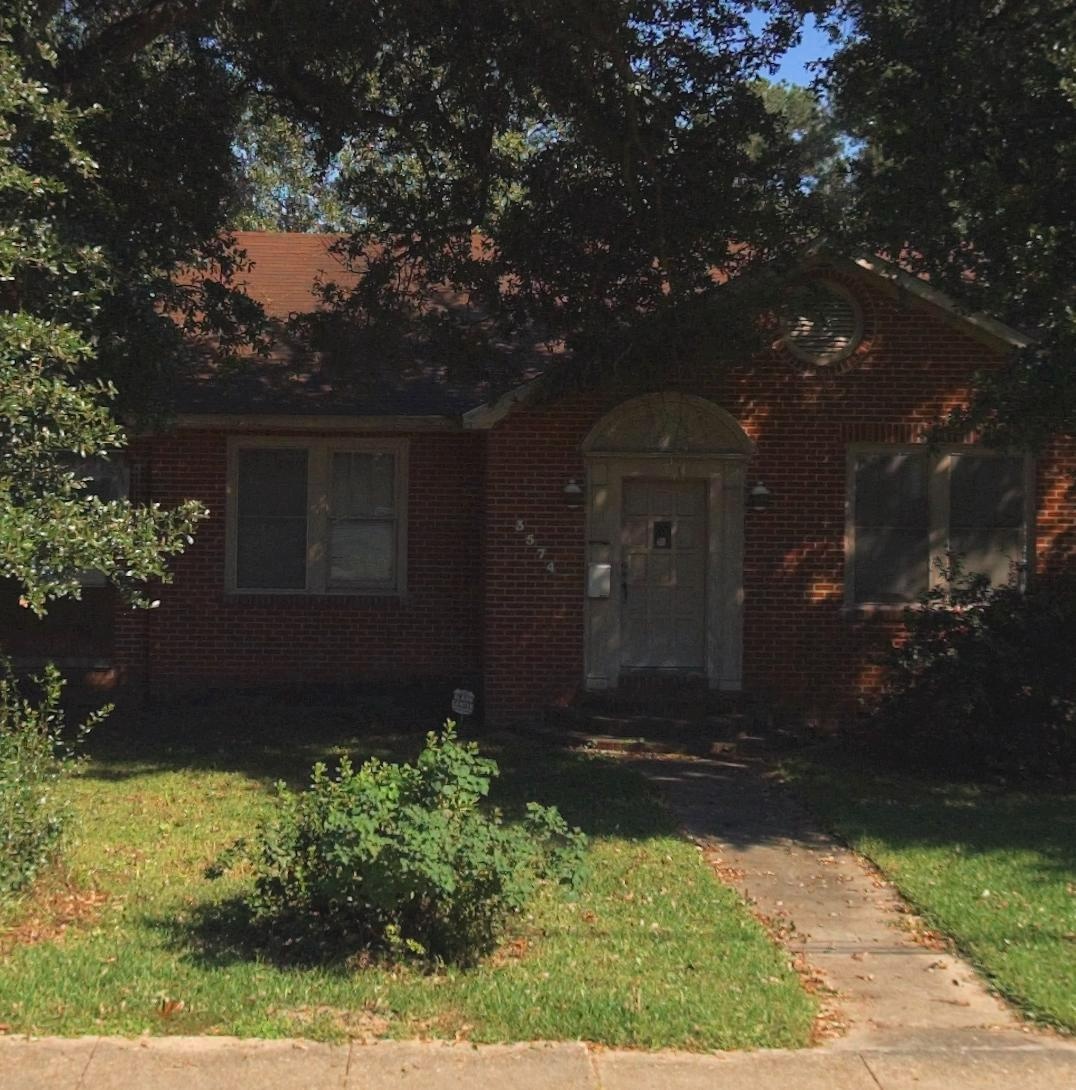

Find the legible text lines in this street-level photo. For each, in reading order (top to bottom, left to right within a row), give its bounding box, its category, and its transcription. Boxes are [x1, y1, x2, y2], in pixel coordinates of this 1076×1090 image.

[514, 518, 555, 574] StreetNumber: 3574